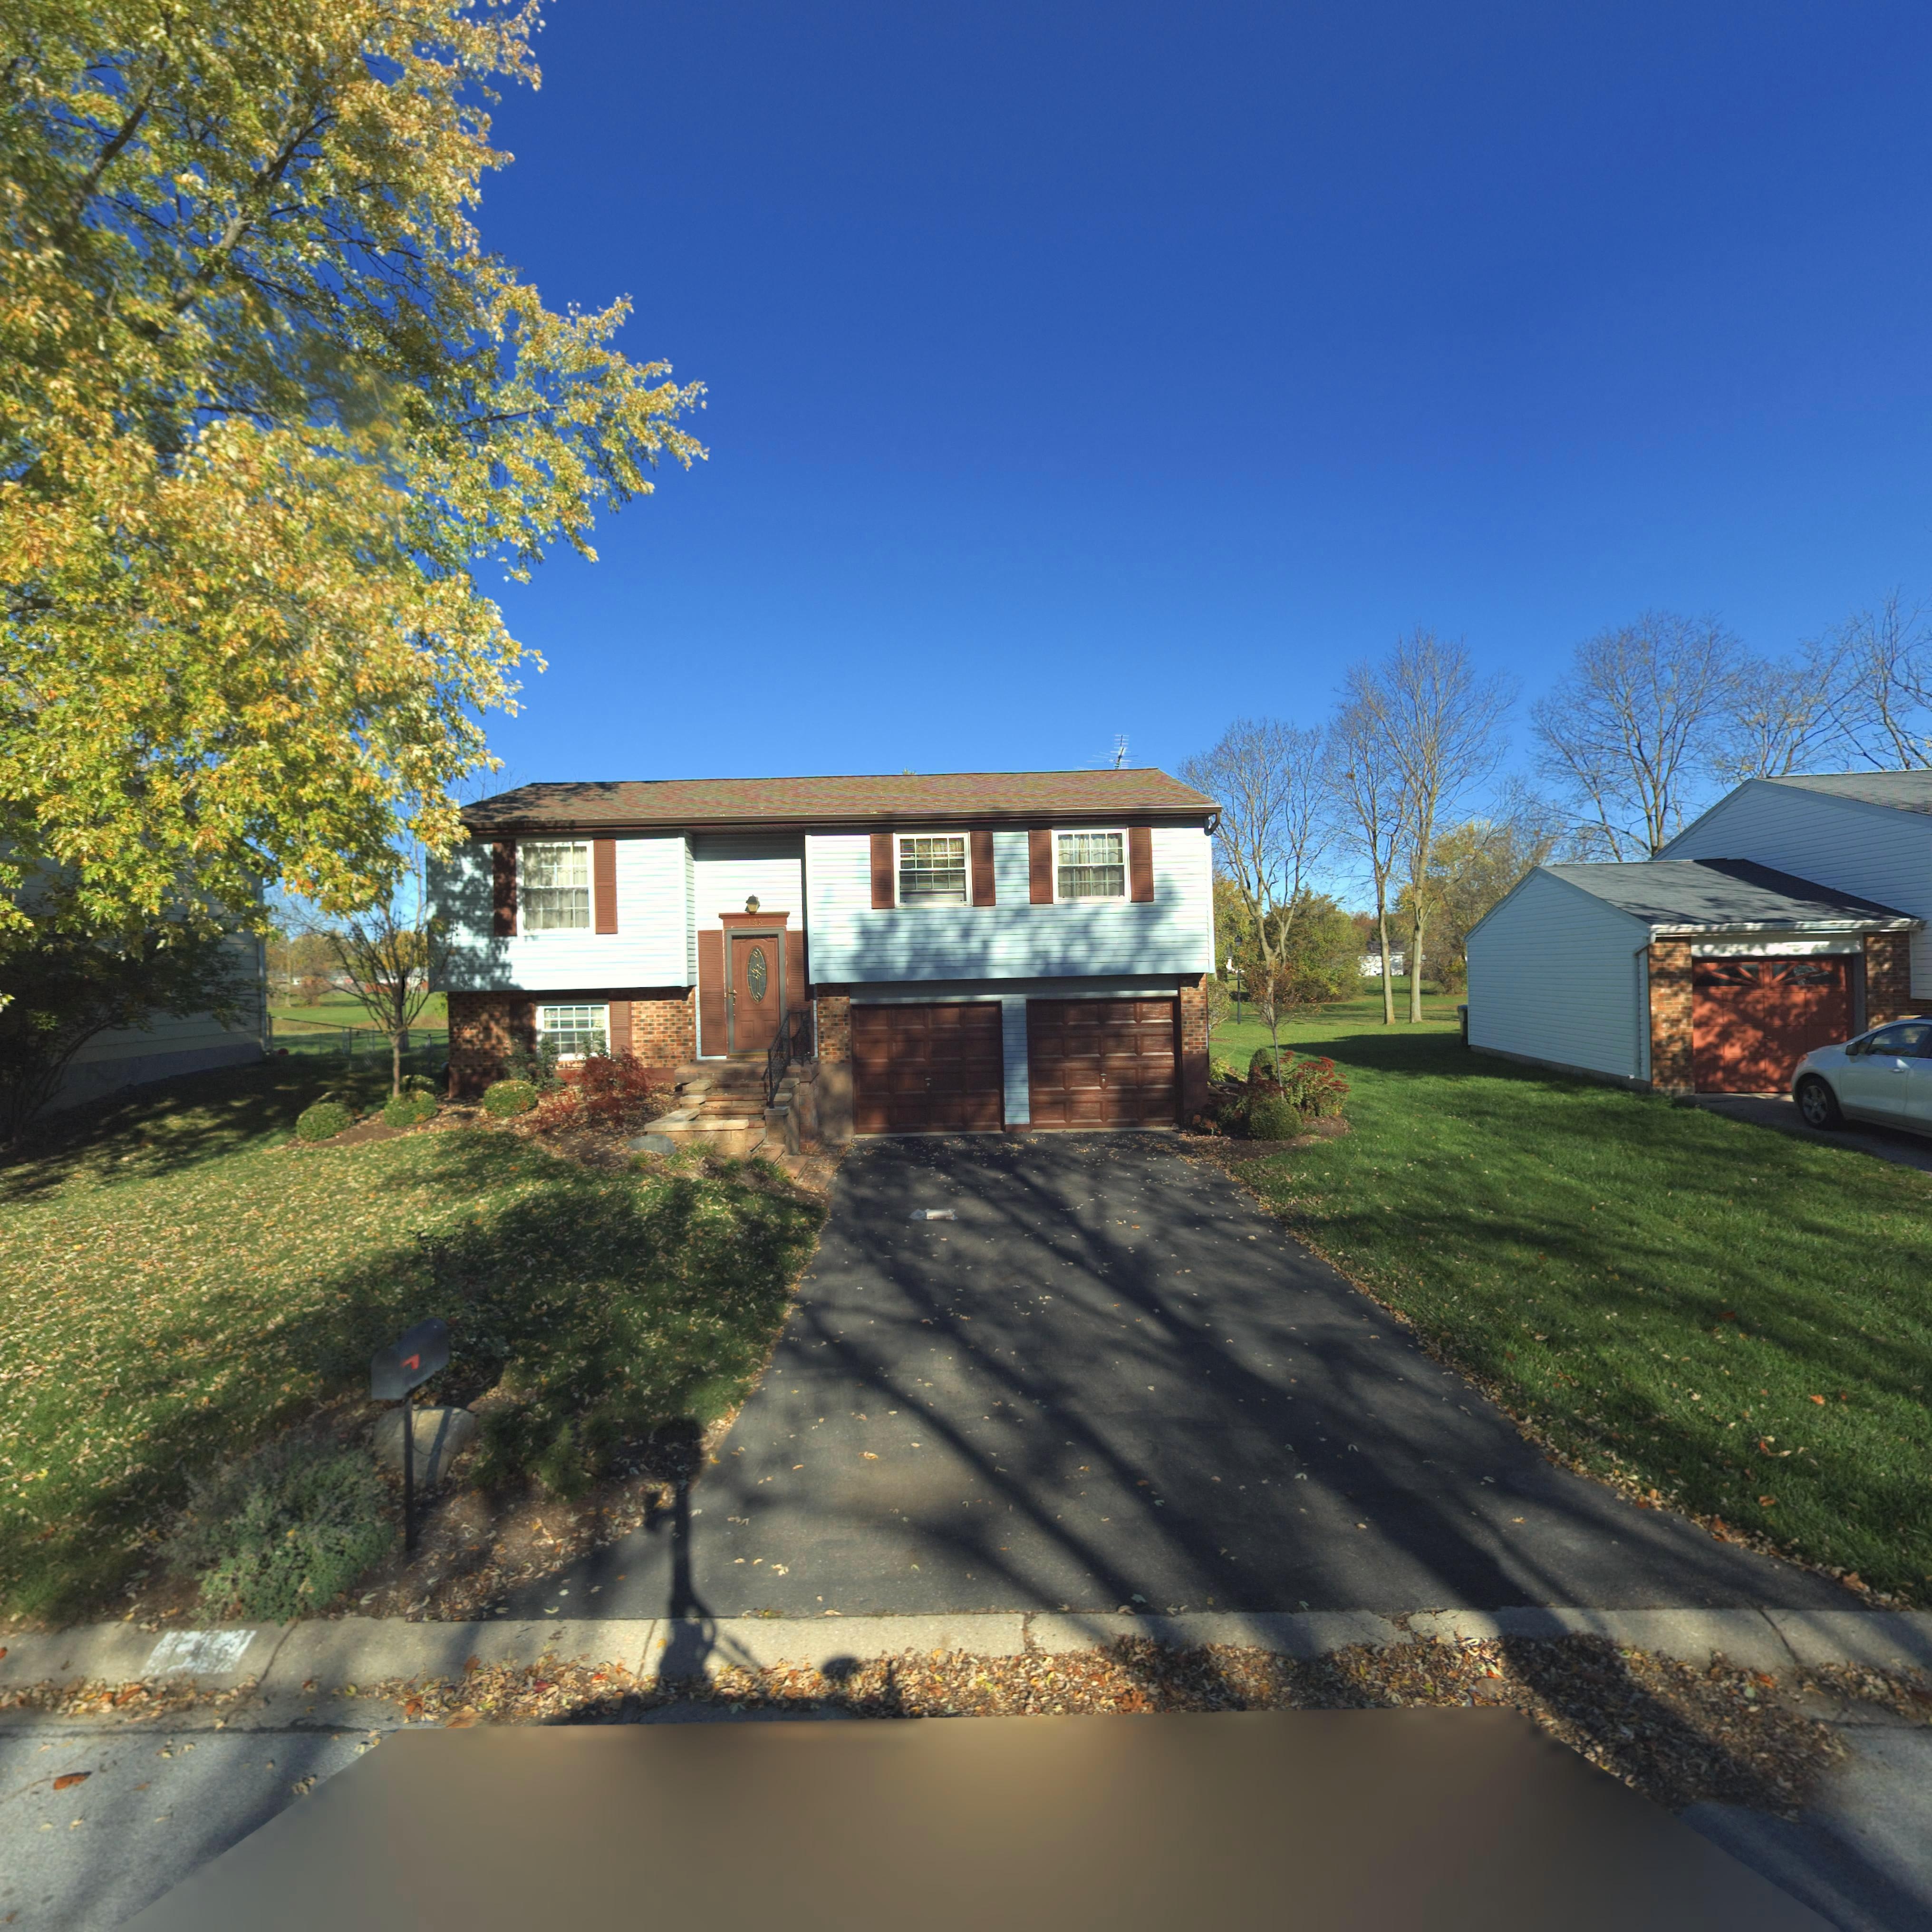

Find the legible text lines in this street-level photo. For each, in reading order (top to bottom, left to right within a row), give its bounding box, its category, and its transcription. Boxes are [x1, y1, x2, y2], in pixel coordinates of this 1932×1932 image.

[748, 918, 763, 926] StreetNumber: 146
[166, 1638, 236, 1665] StreetNumber: 146